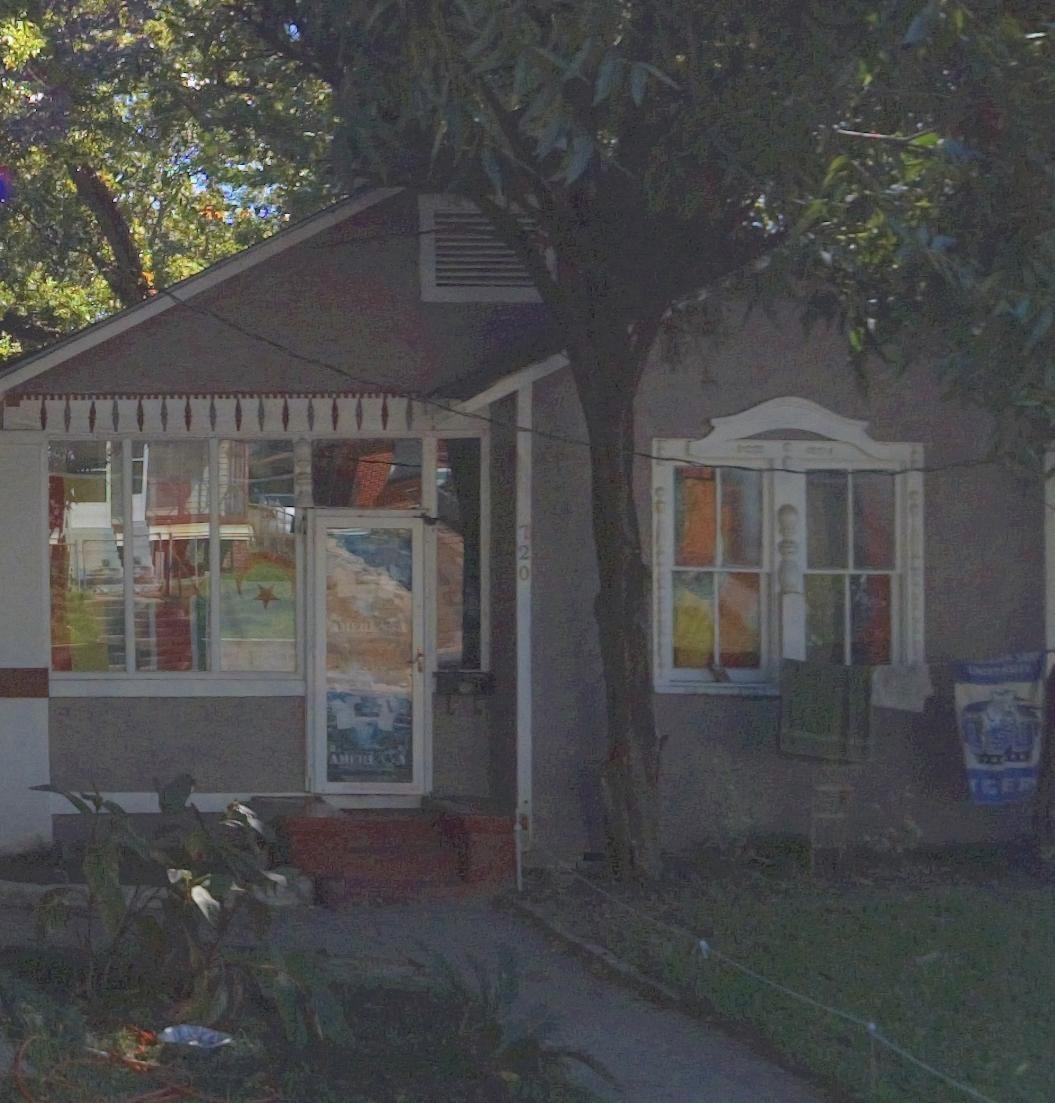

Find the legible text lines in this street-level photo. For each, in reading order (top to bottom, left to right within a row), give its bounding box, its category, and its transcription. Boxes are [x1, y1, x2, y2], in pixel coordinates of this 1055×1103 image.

[515, 522, 533, 583] StreetNumber: 720
[979, 776, 1017, 797] None: GE